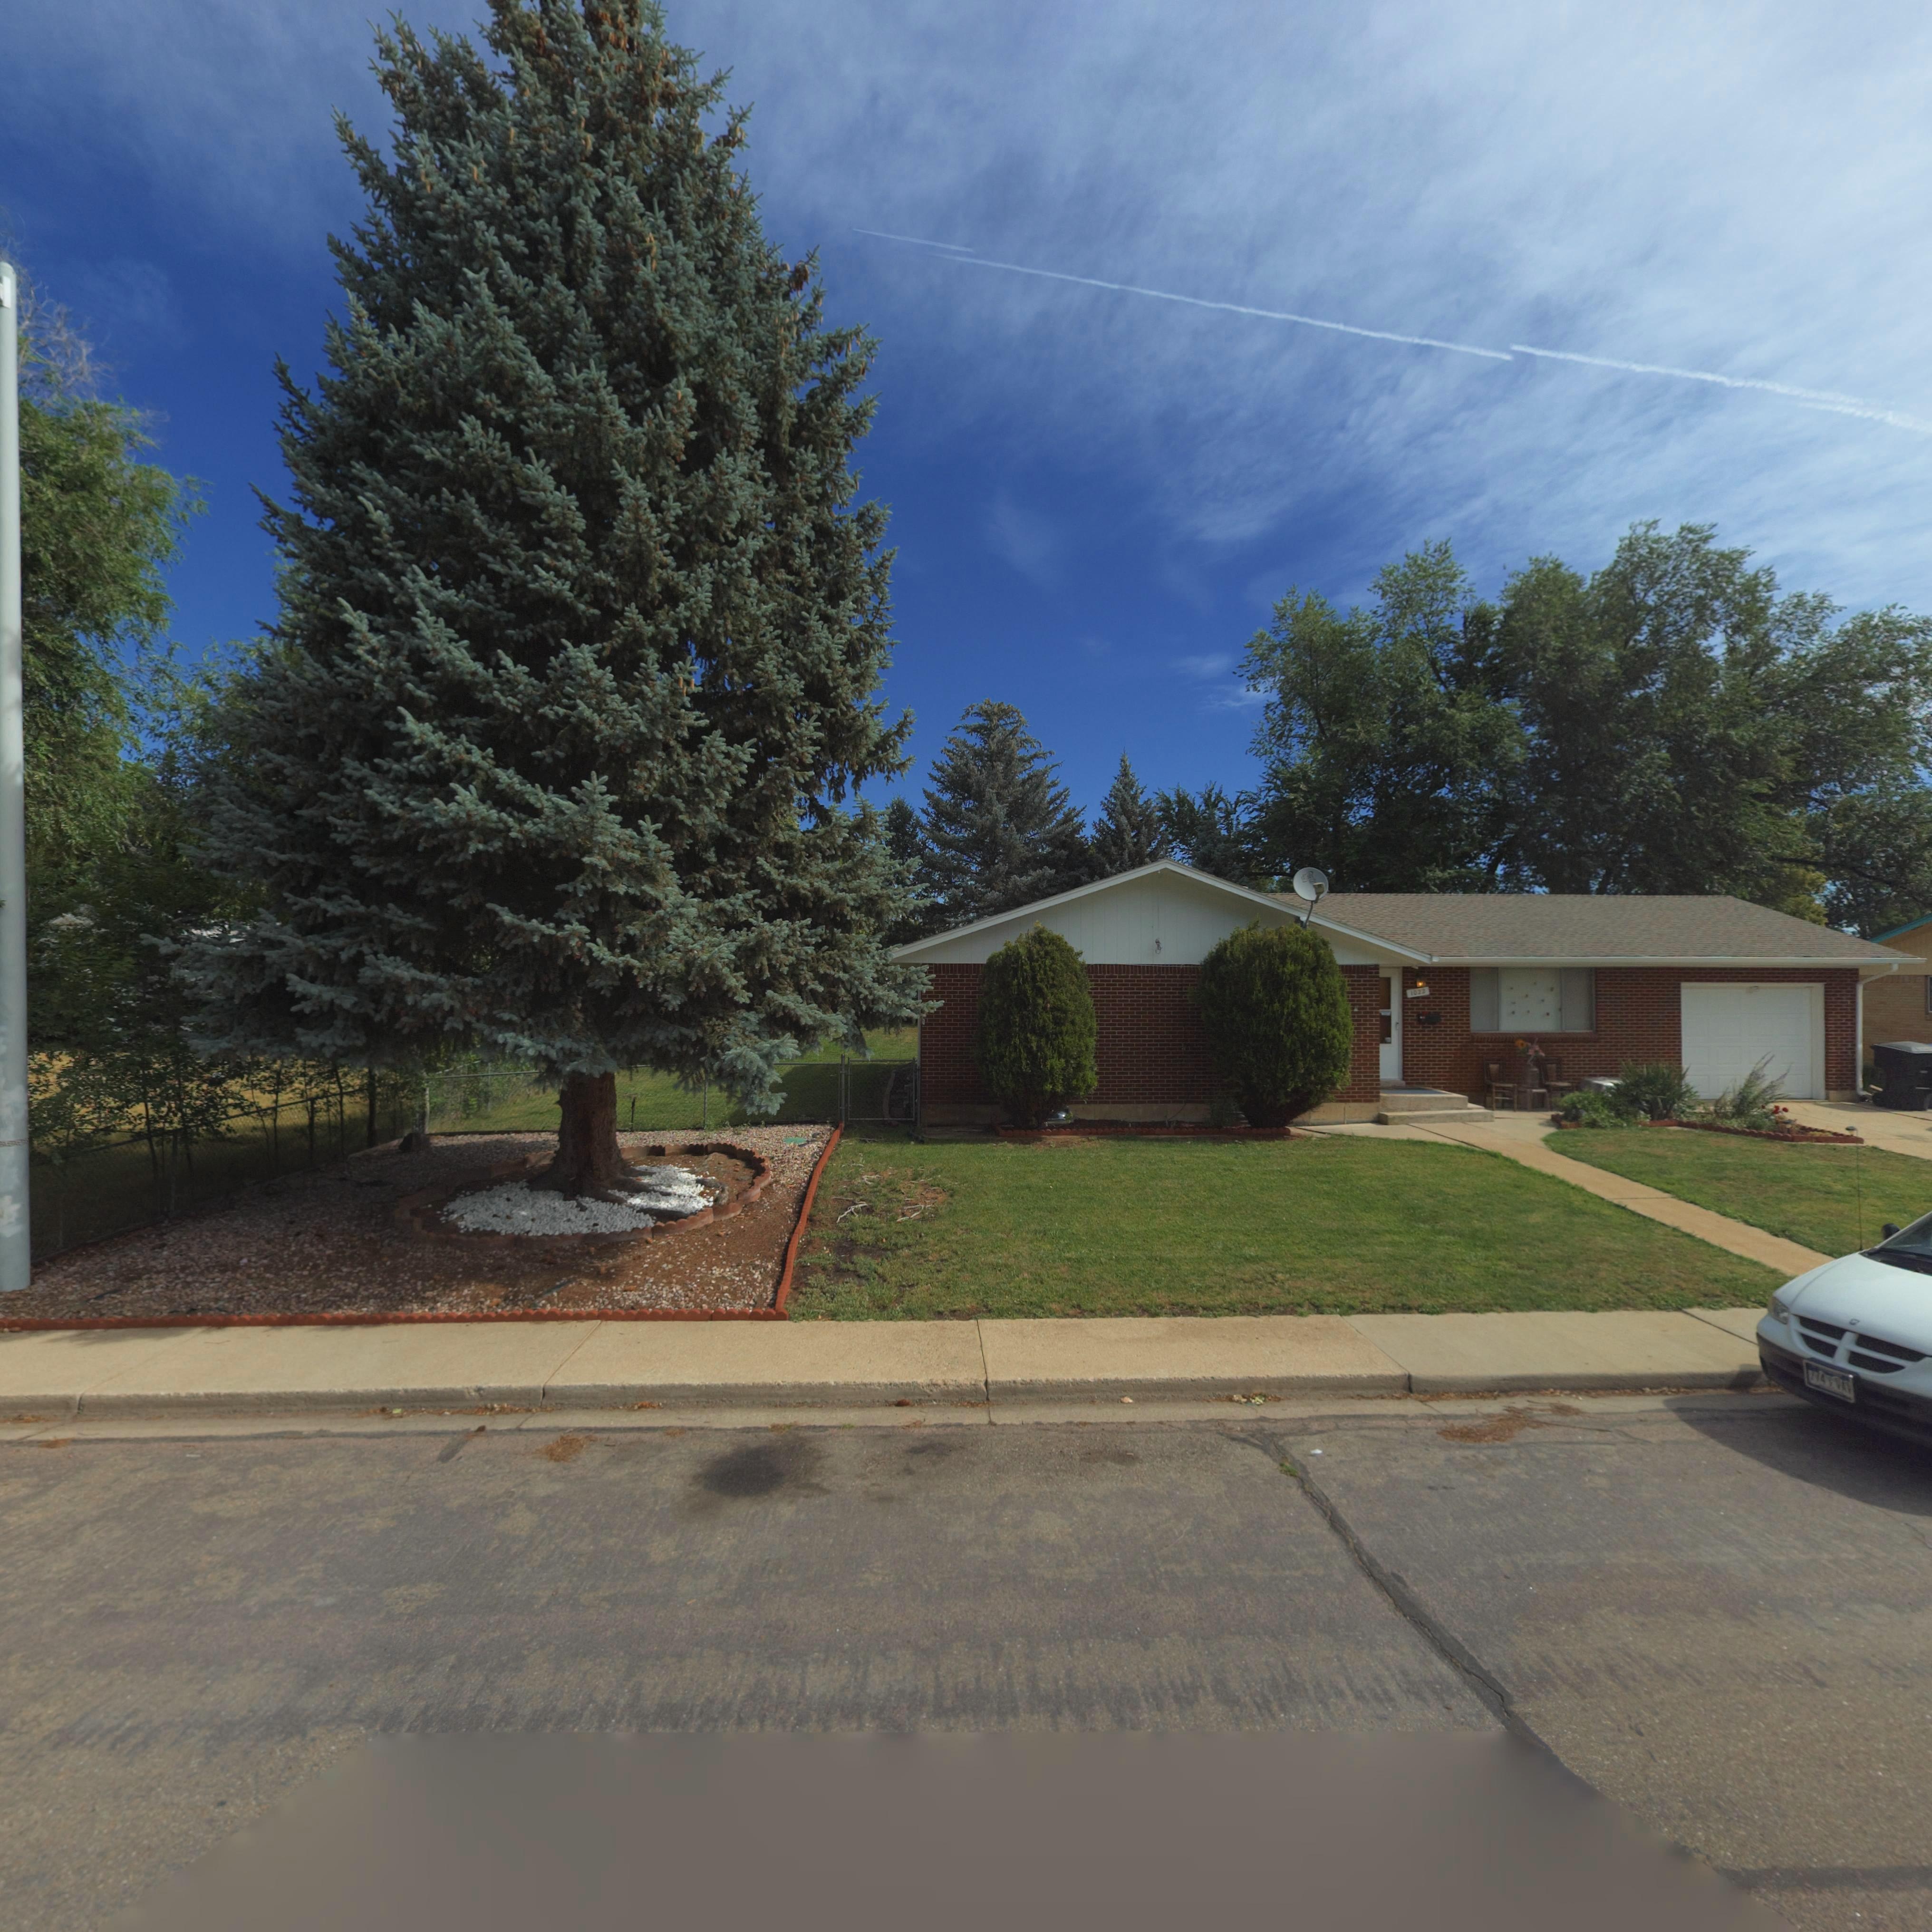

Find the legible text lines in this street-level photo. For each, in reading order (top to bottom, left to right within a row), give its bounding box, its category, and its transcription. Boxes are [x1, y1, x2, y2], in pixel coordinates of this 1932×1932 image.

[1410, 988, 1426, 996] StreetNumber: 1022